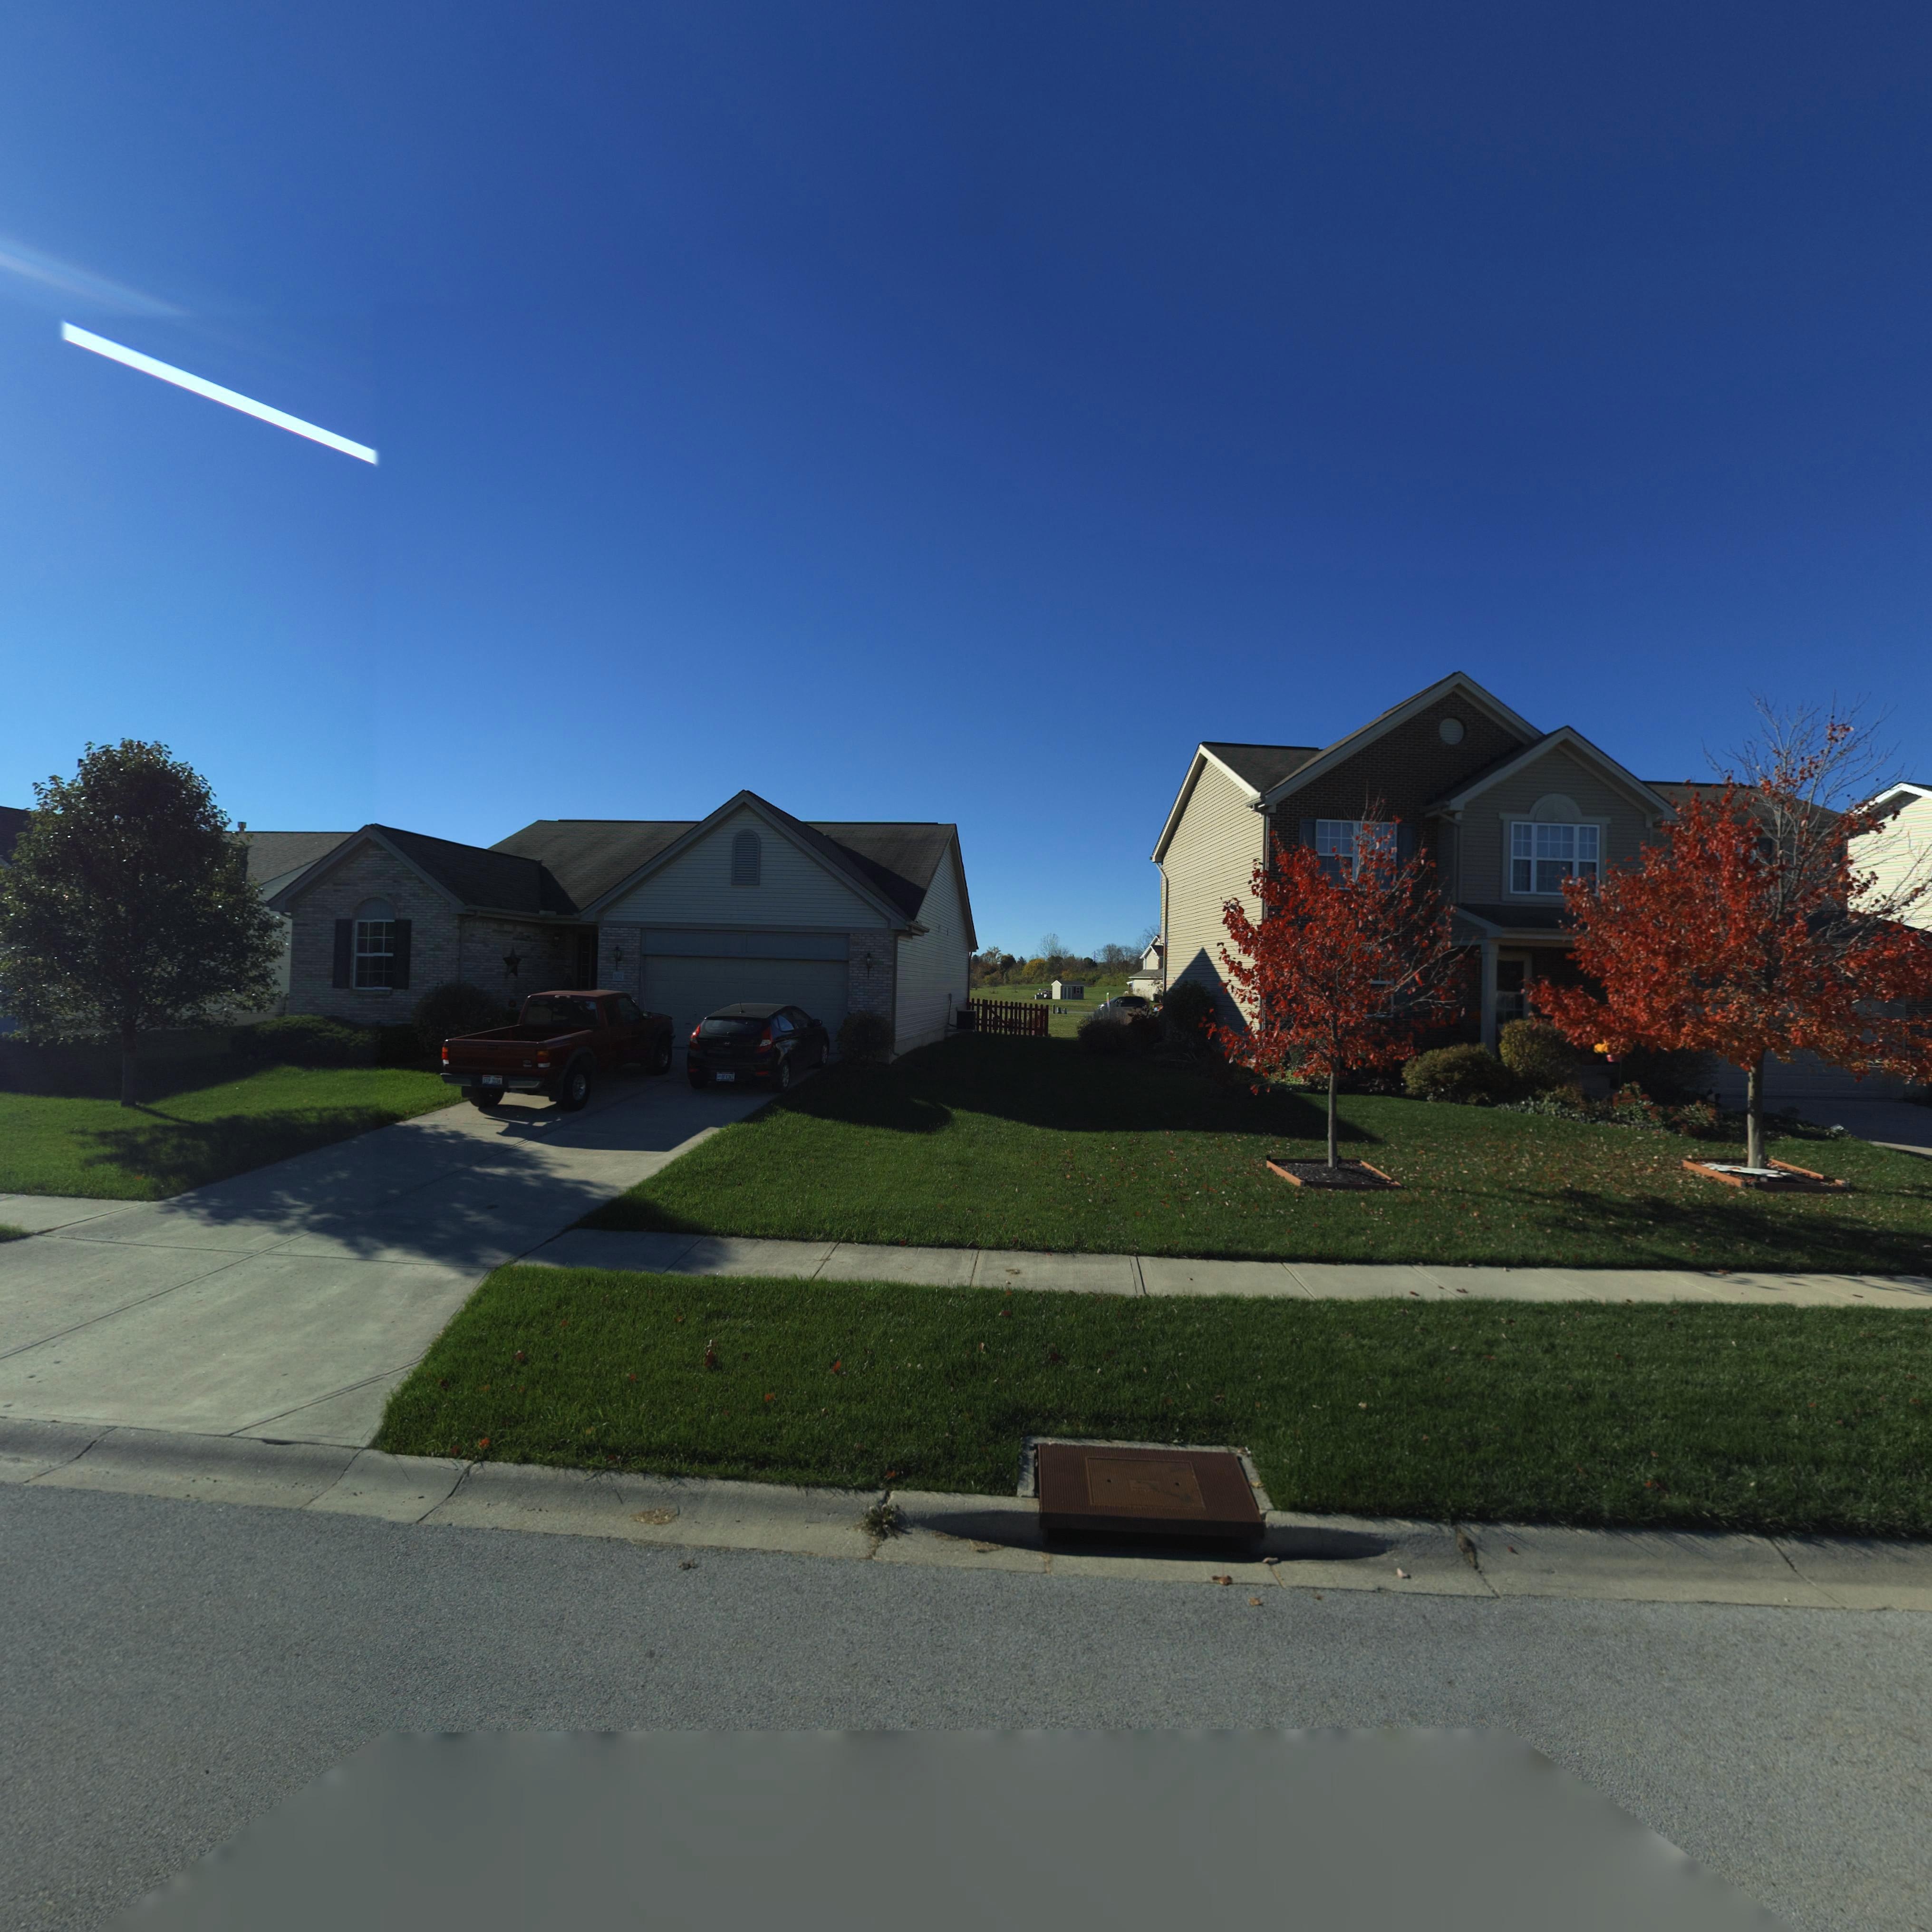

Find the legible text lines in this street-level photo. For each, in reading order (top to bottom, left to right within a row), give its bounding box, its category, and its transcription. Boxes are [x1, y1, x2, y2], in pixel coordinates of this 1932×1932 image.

[613, 972, 622, 979] StreetNumber: 181